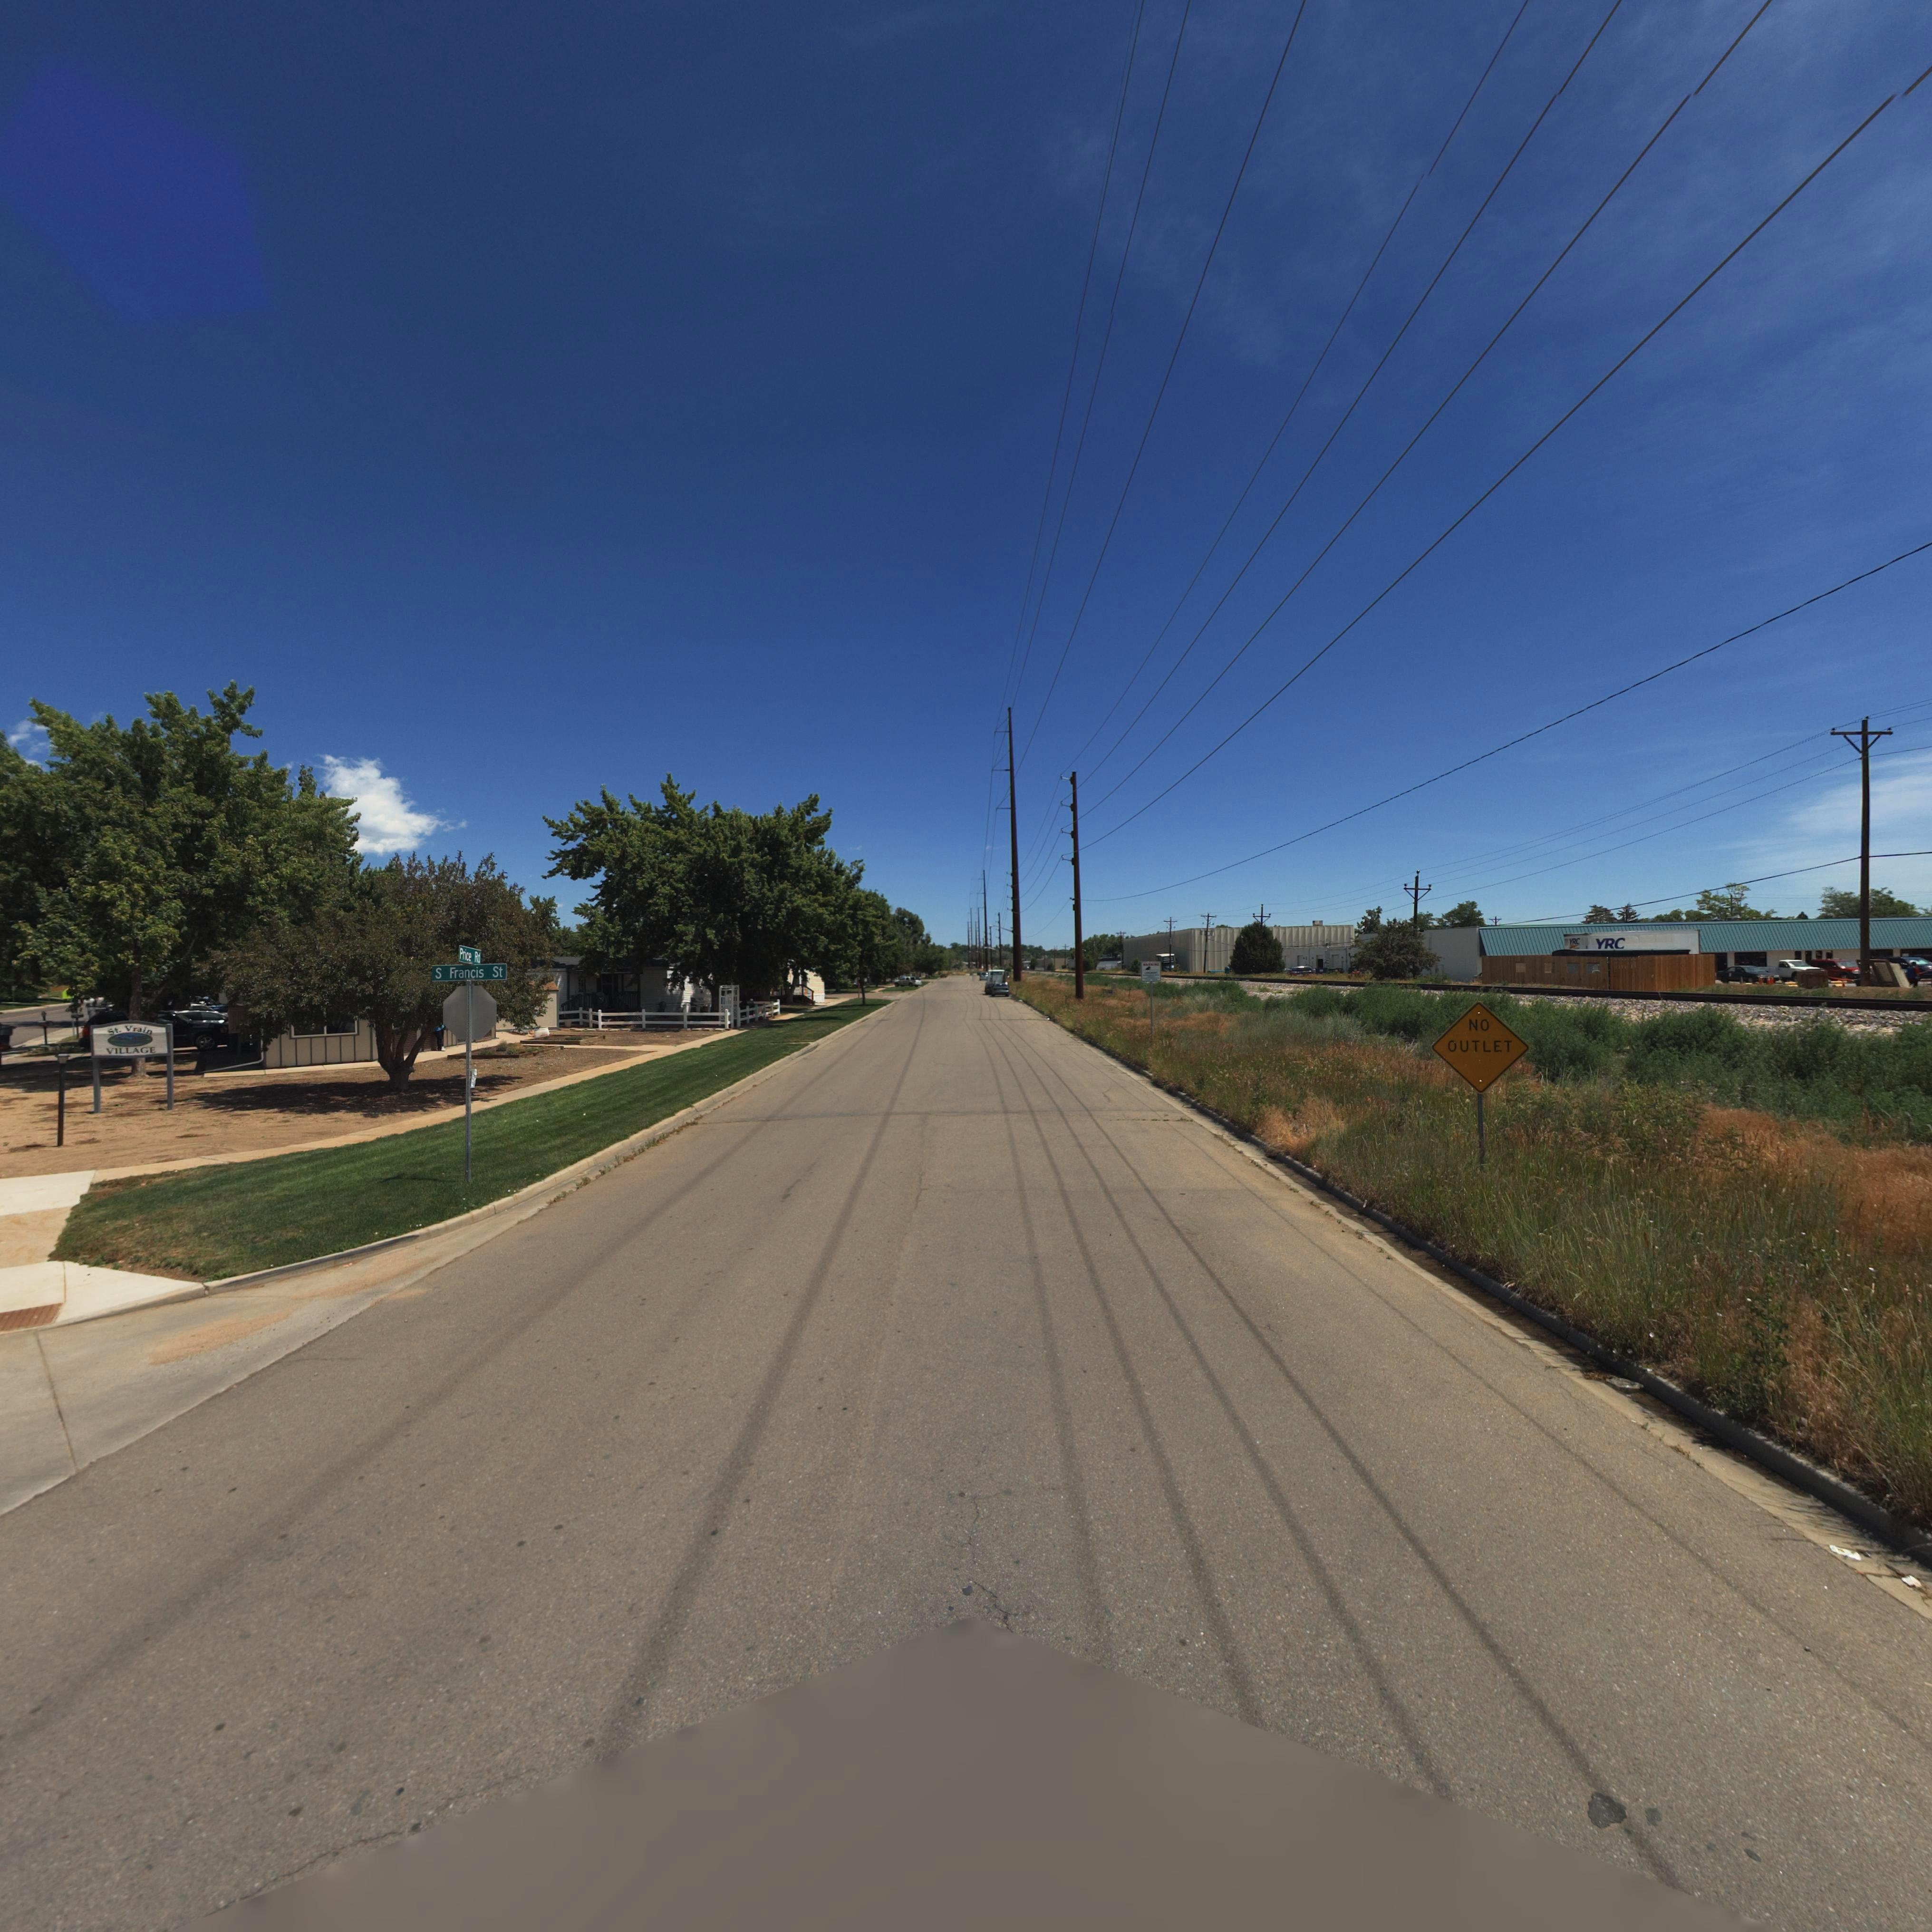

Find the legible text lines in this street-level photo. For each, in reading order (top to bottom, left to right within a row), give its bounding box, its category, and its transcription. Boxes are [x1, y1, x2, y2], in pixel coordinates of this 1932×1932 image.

[459, 947, 481, 963] StreetName: Prince Rd
[435, 965, 503, 980] StreetName: S Francis St